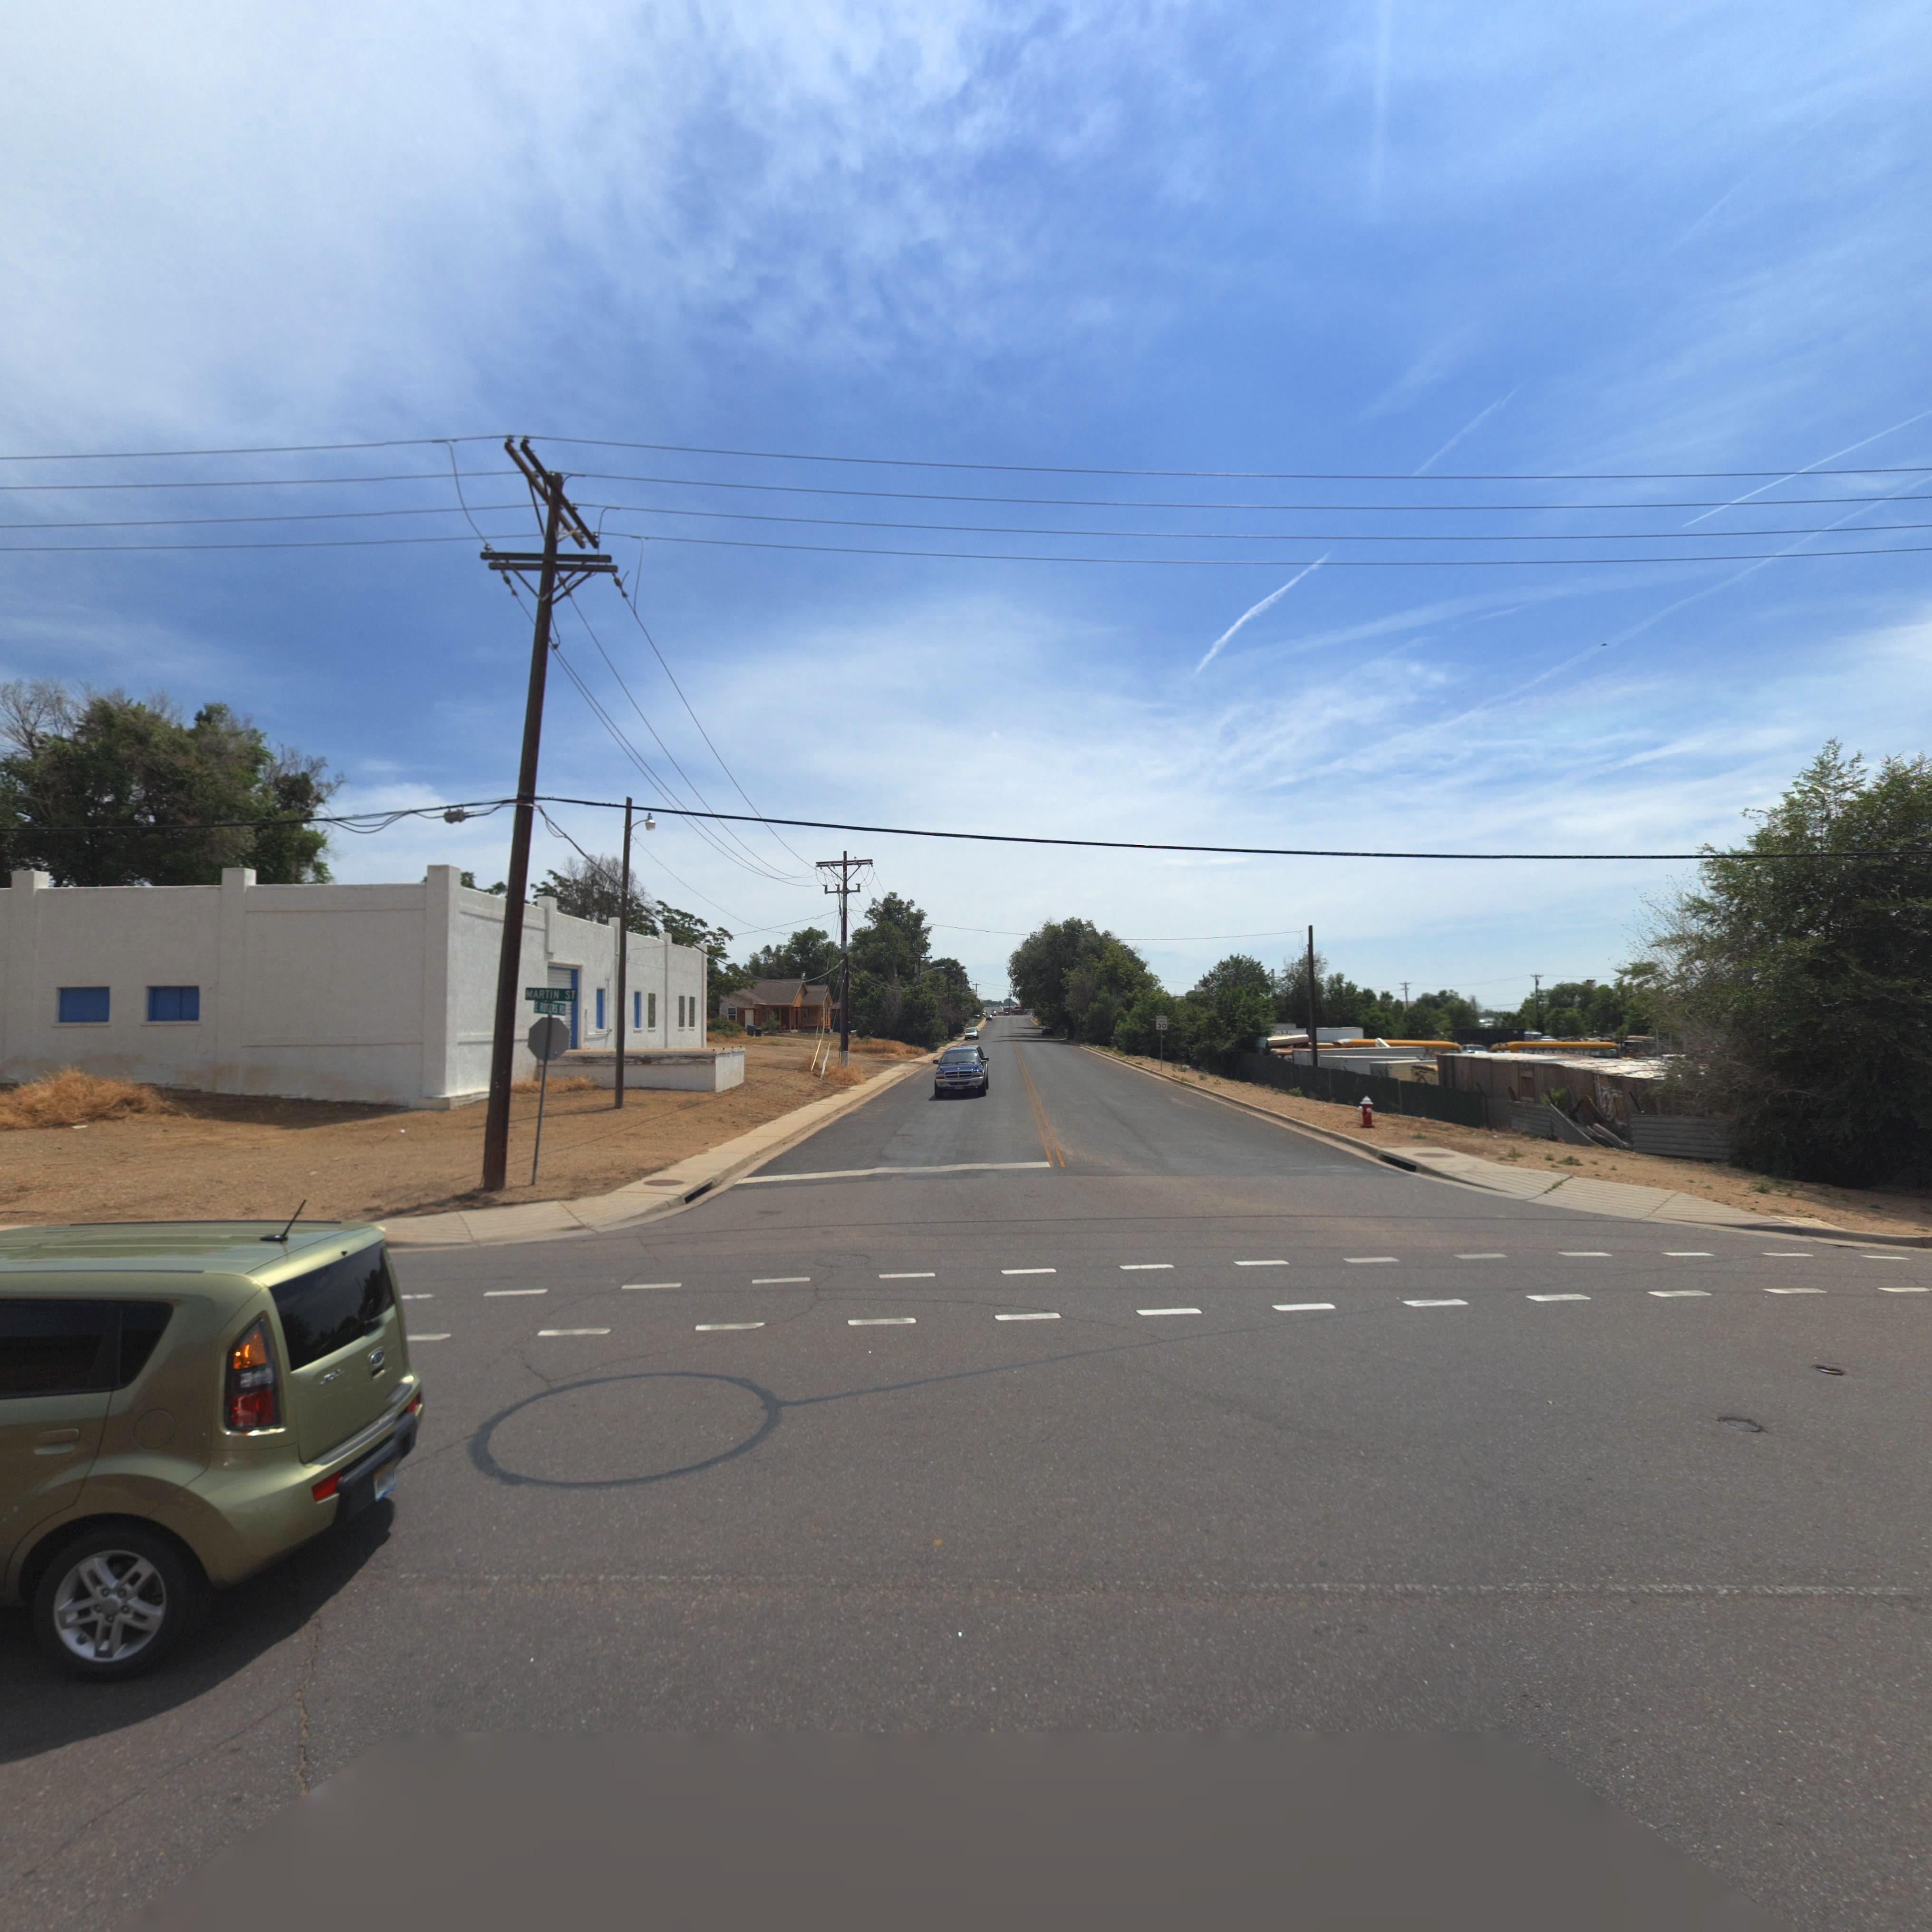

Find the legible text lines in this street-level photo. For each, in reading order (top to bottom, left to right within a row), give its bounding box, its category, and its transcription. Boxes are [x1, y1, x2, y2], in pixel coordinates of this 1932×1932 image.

[525, 989, 577, 1000] StreetName: MARTIN ST
[534, 1001, 566, 1015] StreetName: E ROGERS RD